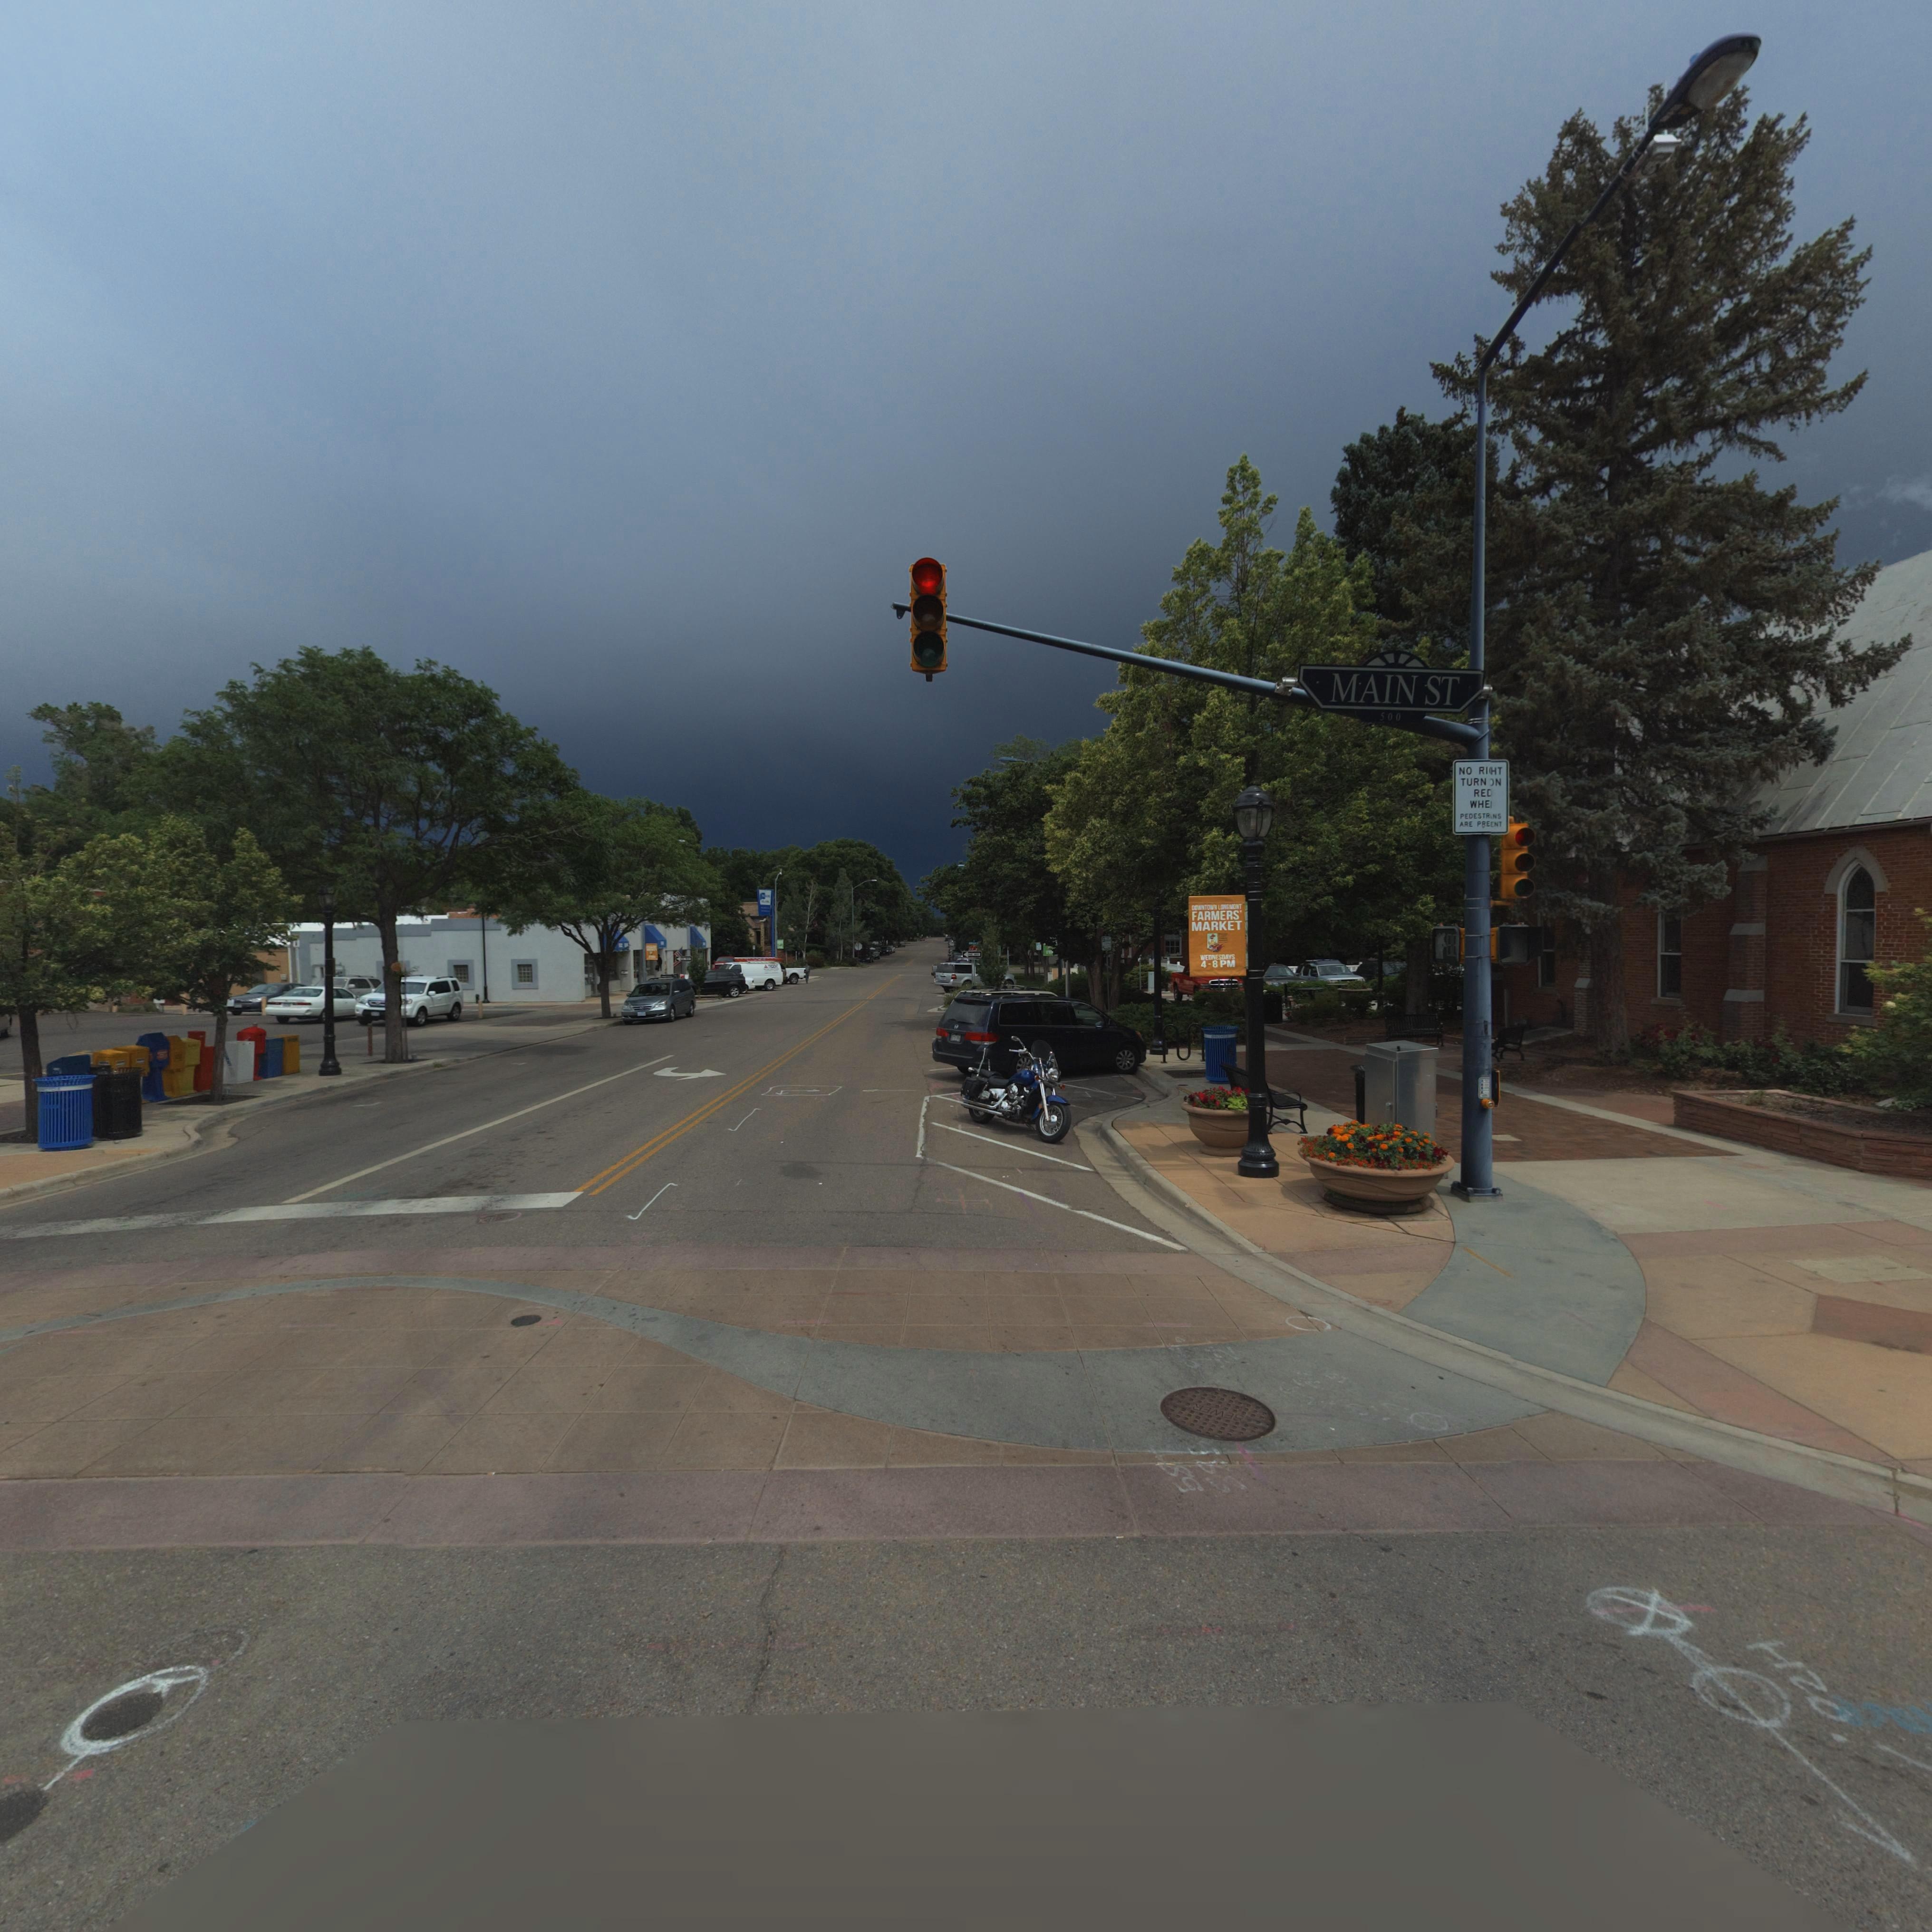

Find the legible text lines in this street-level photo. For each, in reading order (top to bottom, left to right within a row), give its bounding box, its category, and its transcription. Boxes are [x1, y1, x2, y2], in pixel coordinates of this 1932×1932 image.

[1328, 672, 1460, 706] StreetName: MAIN ST
[1380, 712, 1401, 721] StreetNumberRange: 500